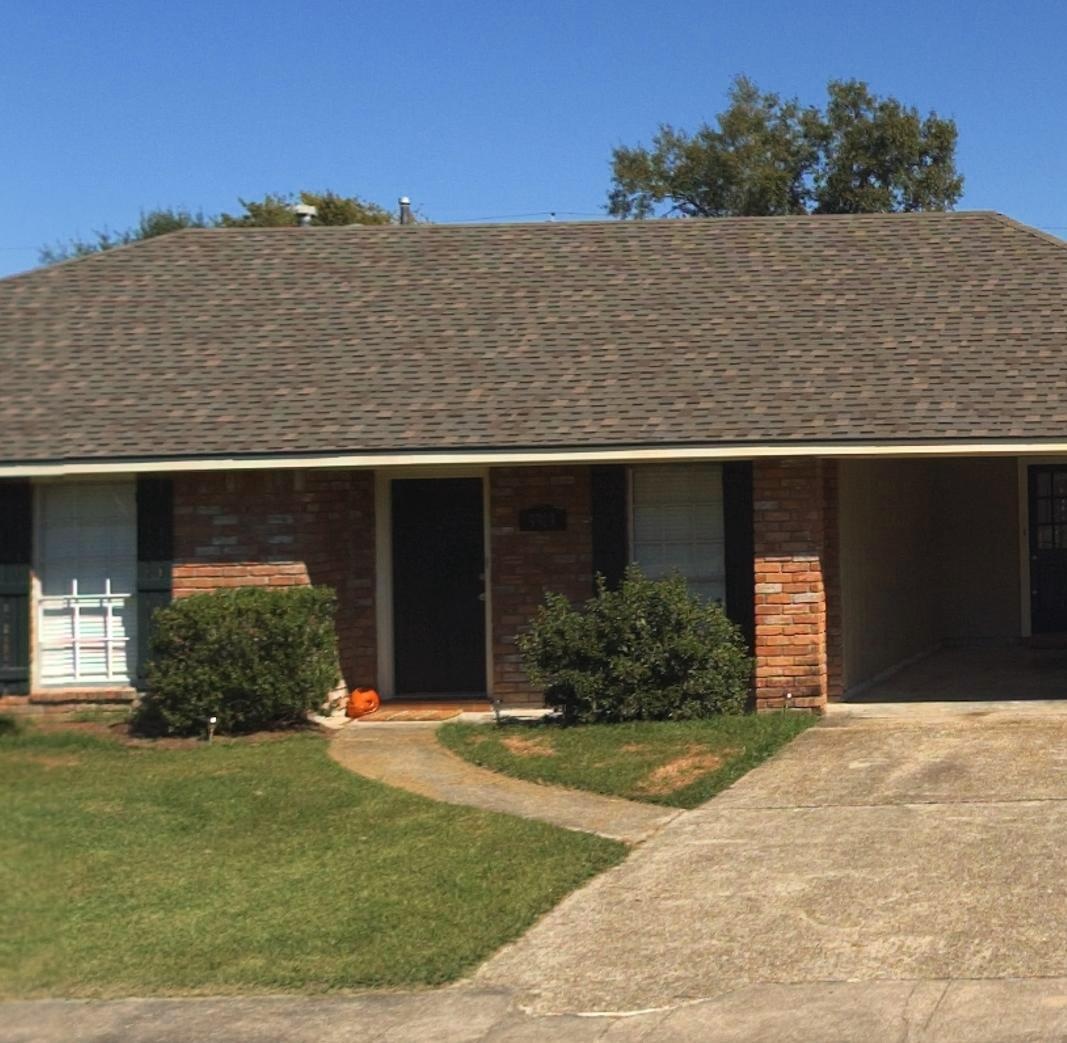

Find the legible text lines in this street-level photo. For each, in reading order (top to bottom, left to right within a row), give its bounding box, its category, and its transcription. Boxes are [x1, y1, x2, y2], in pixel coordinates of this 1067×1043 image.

[527, 512, 556, 528] StreetNumber: 9919